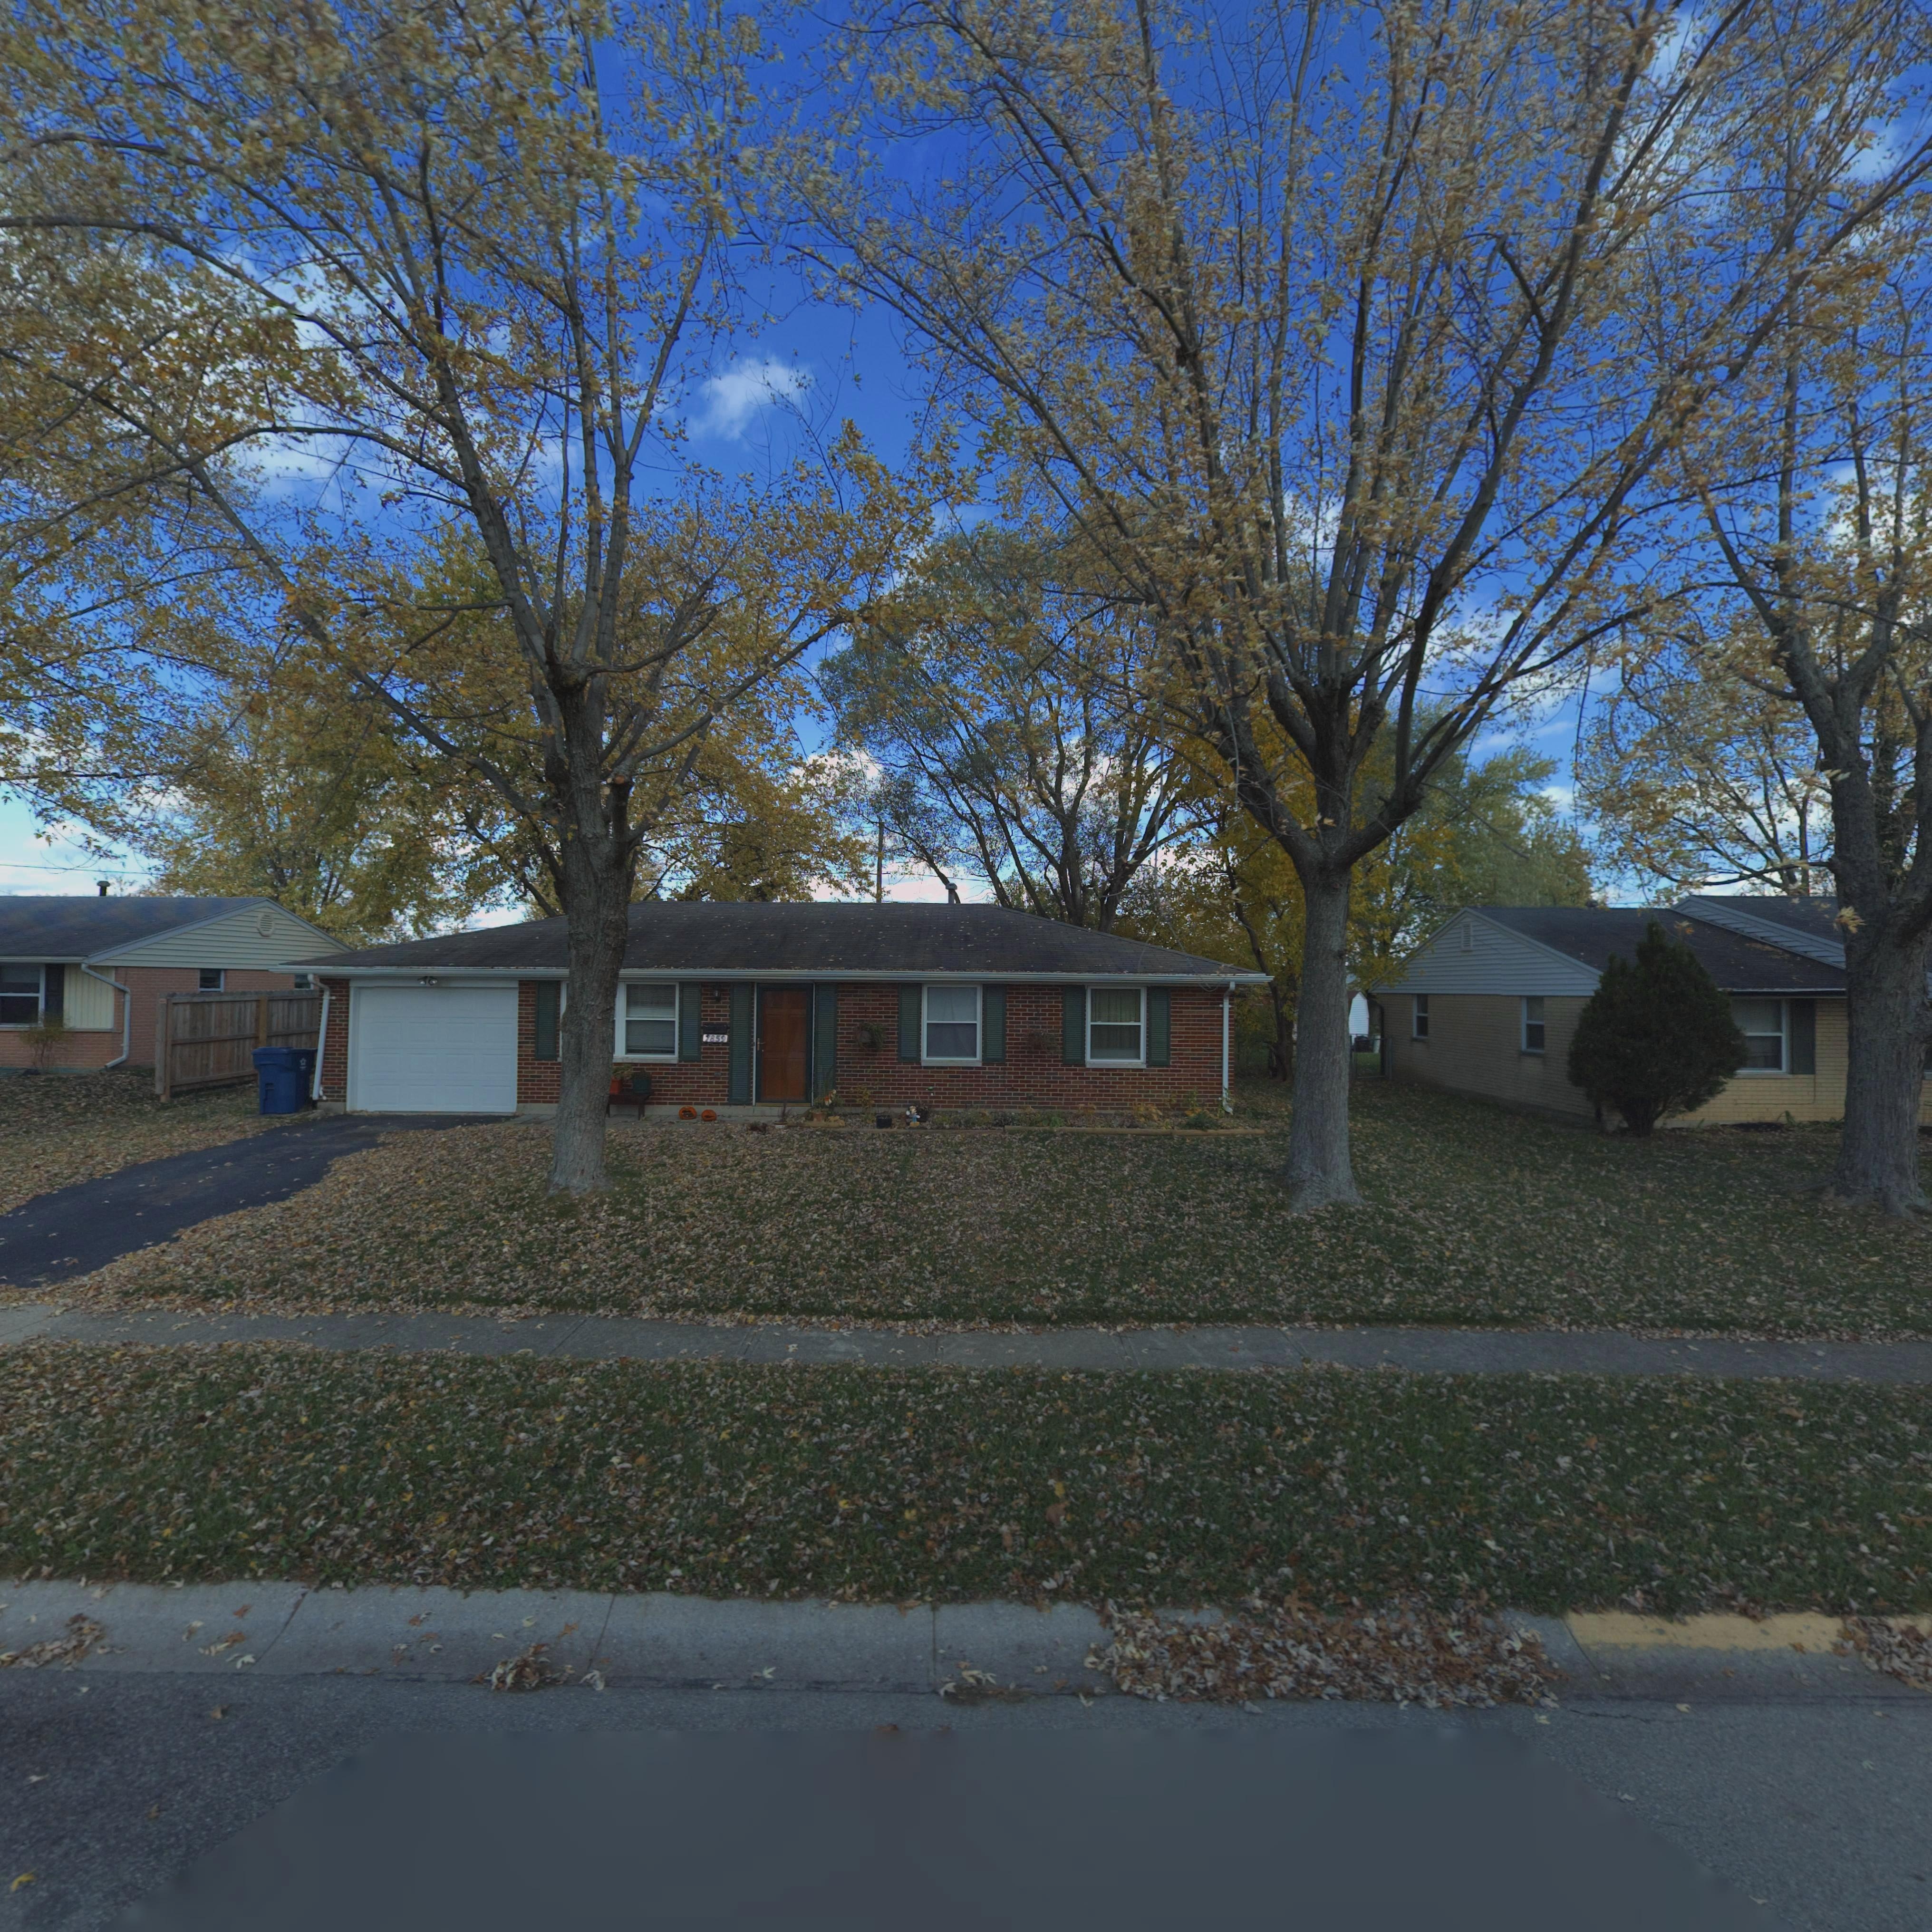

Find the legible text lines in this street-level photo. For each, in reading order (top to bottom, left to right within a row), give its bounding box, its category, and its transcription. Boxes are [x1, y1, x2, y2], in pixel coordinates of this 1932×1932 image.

[704, 1034, 727, 1043] StreetNumber: 7859